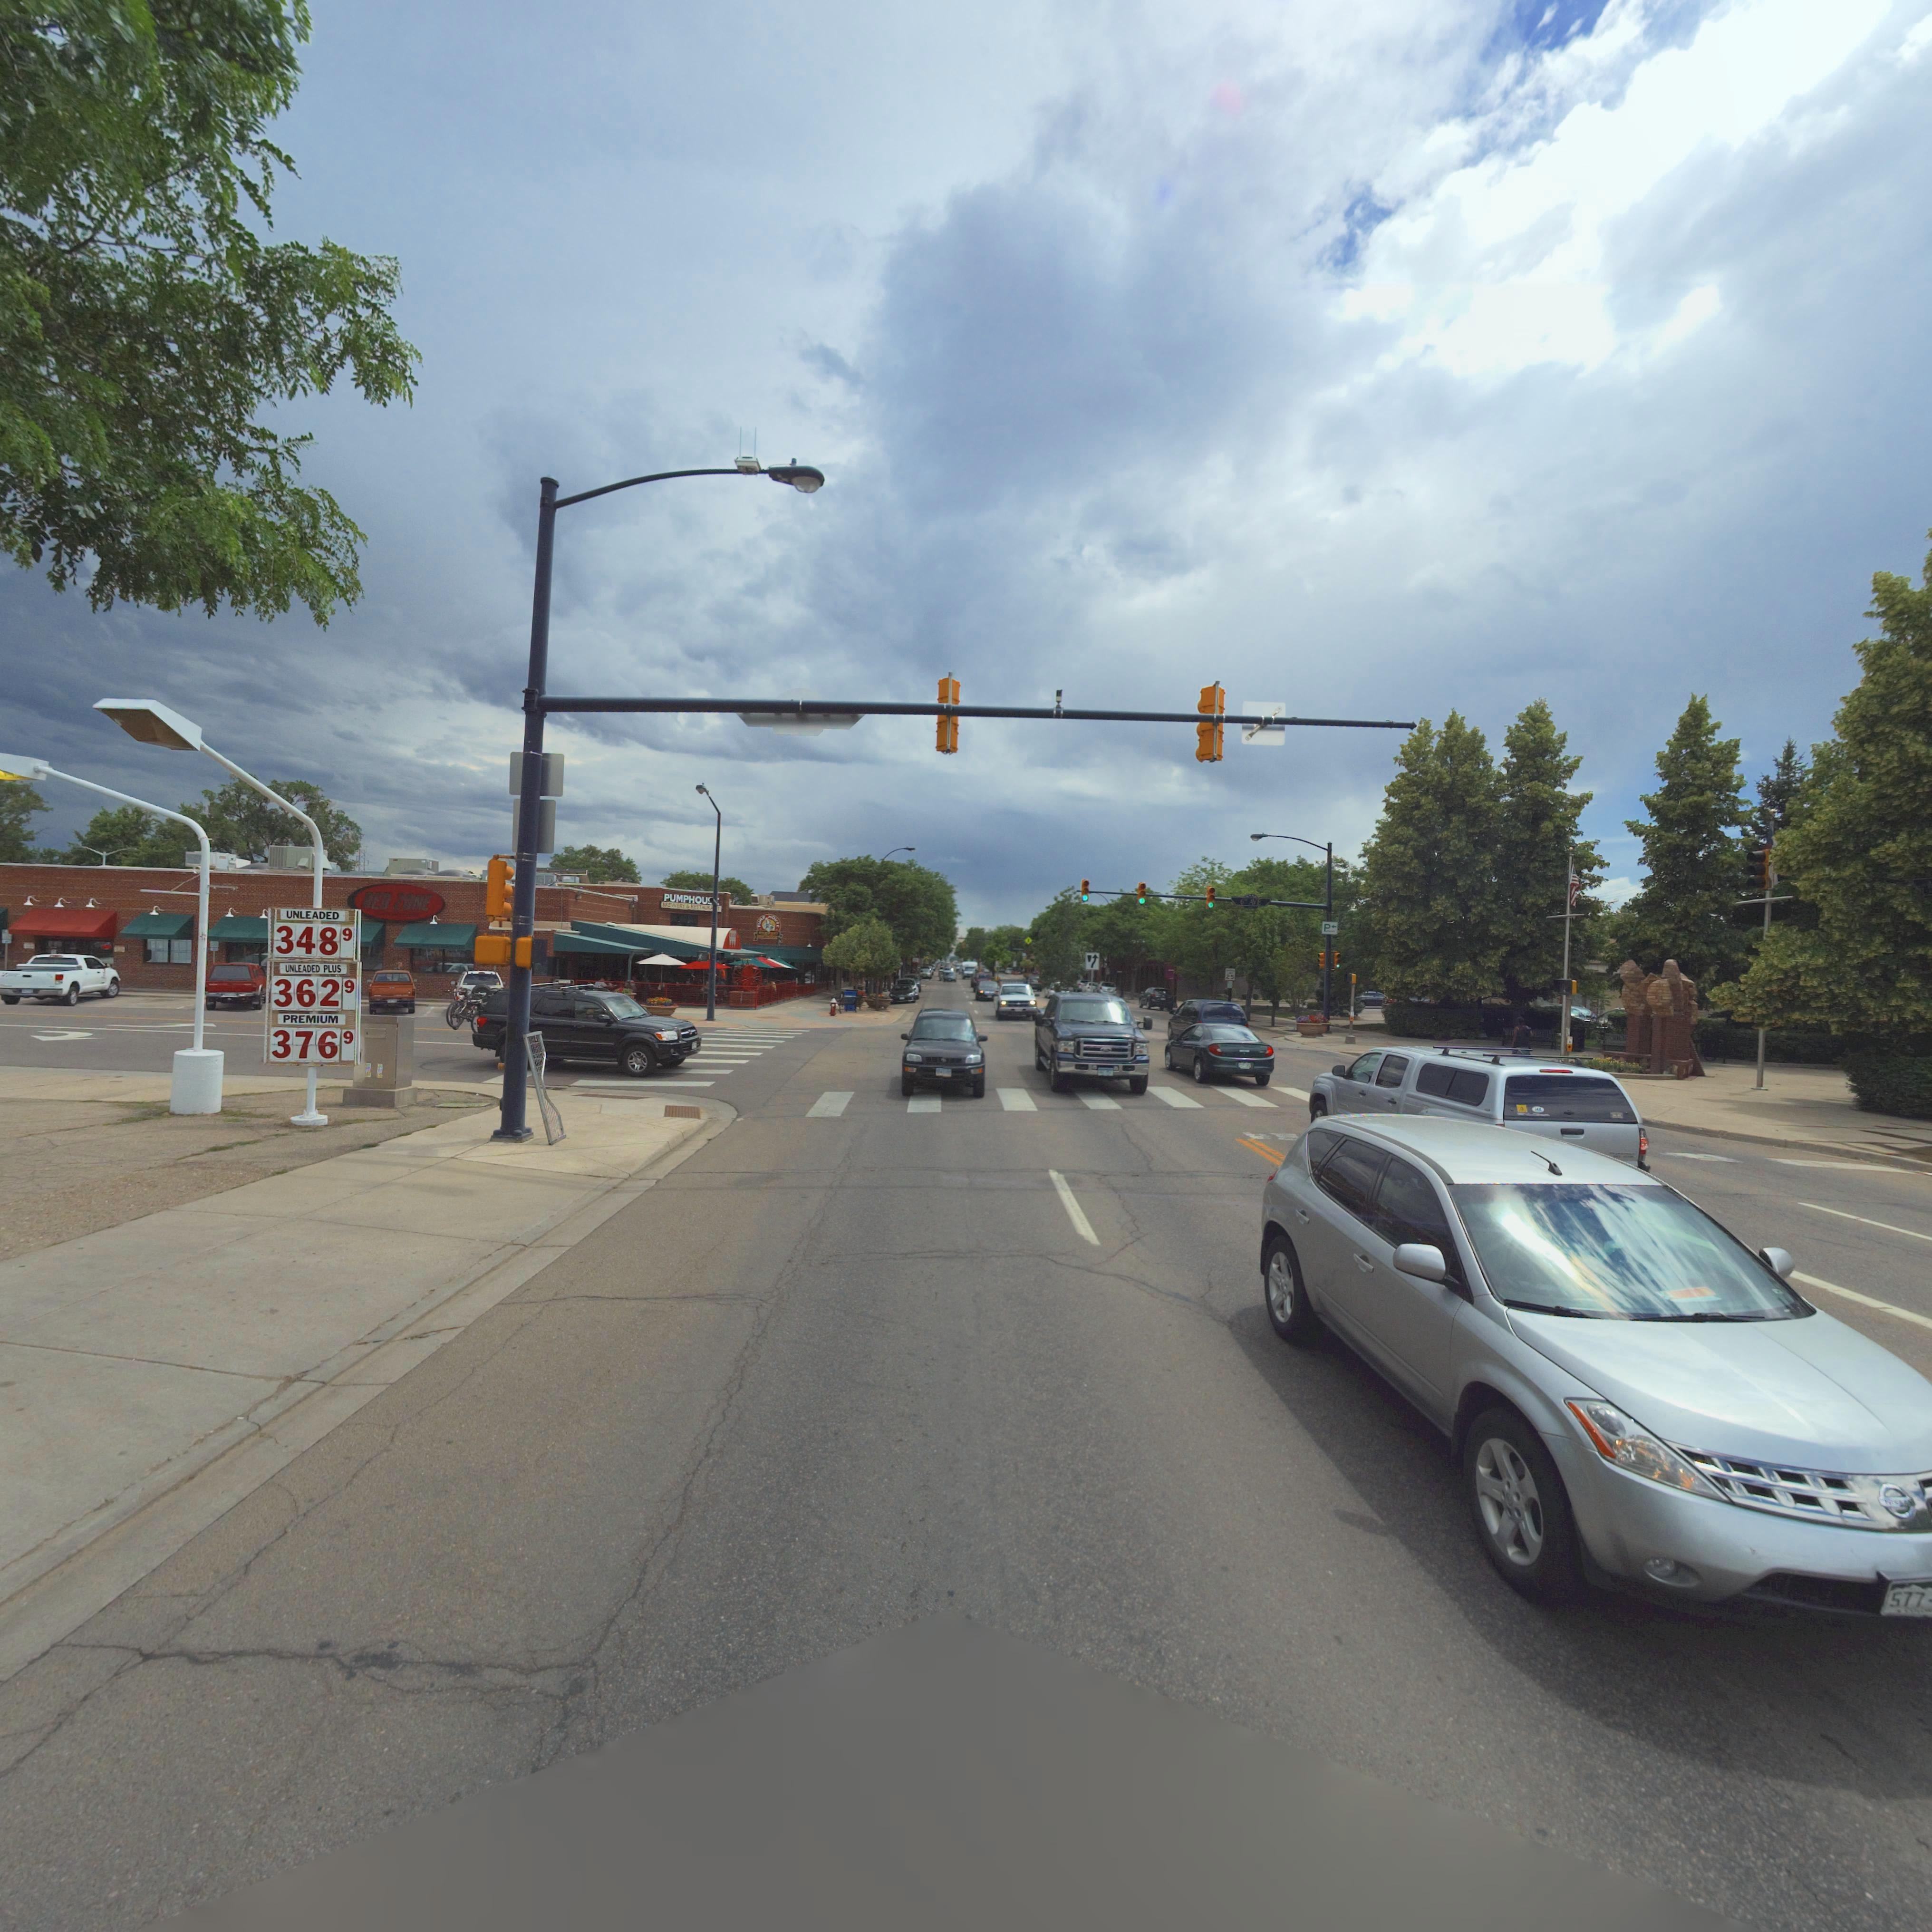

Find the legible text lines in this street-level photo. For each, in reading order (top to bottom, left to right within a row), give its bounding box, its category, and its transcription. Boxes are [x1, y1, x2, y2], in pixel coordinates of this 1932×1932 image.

[359, 890, 434, 913] BusinessName: RED ZONE
[663, 893, 708, 905] BusinessName: PUMPHOU
[662, 902, 711, 910] BusinessName: BREWERY & RESTAUR
[1239, 898, 1261, 906] StreetName: 6** AVE
[756, 915, 780, 928] BusinessName: PUMP HOUSE
[758, 930, 779, 935] BusinessName: *REWERY